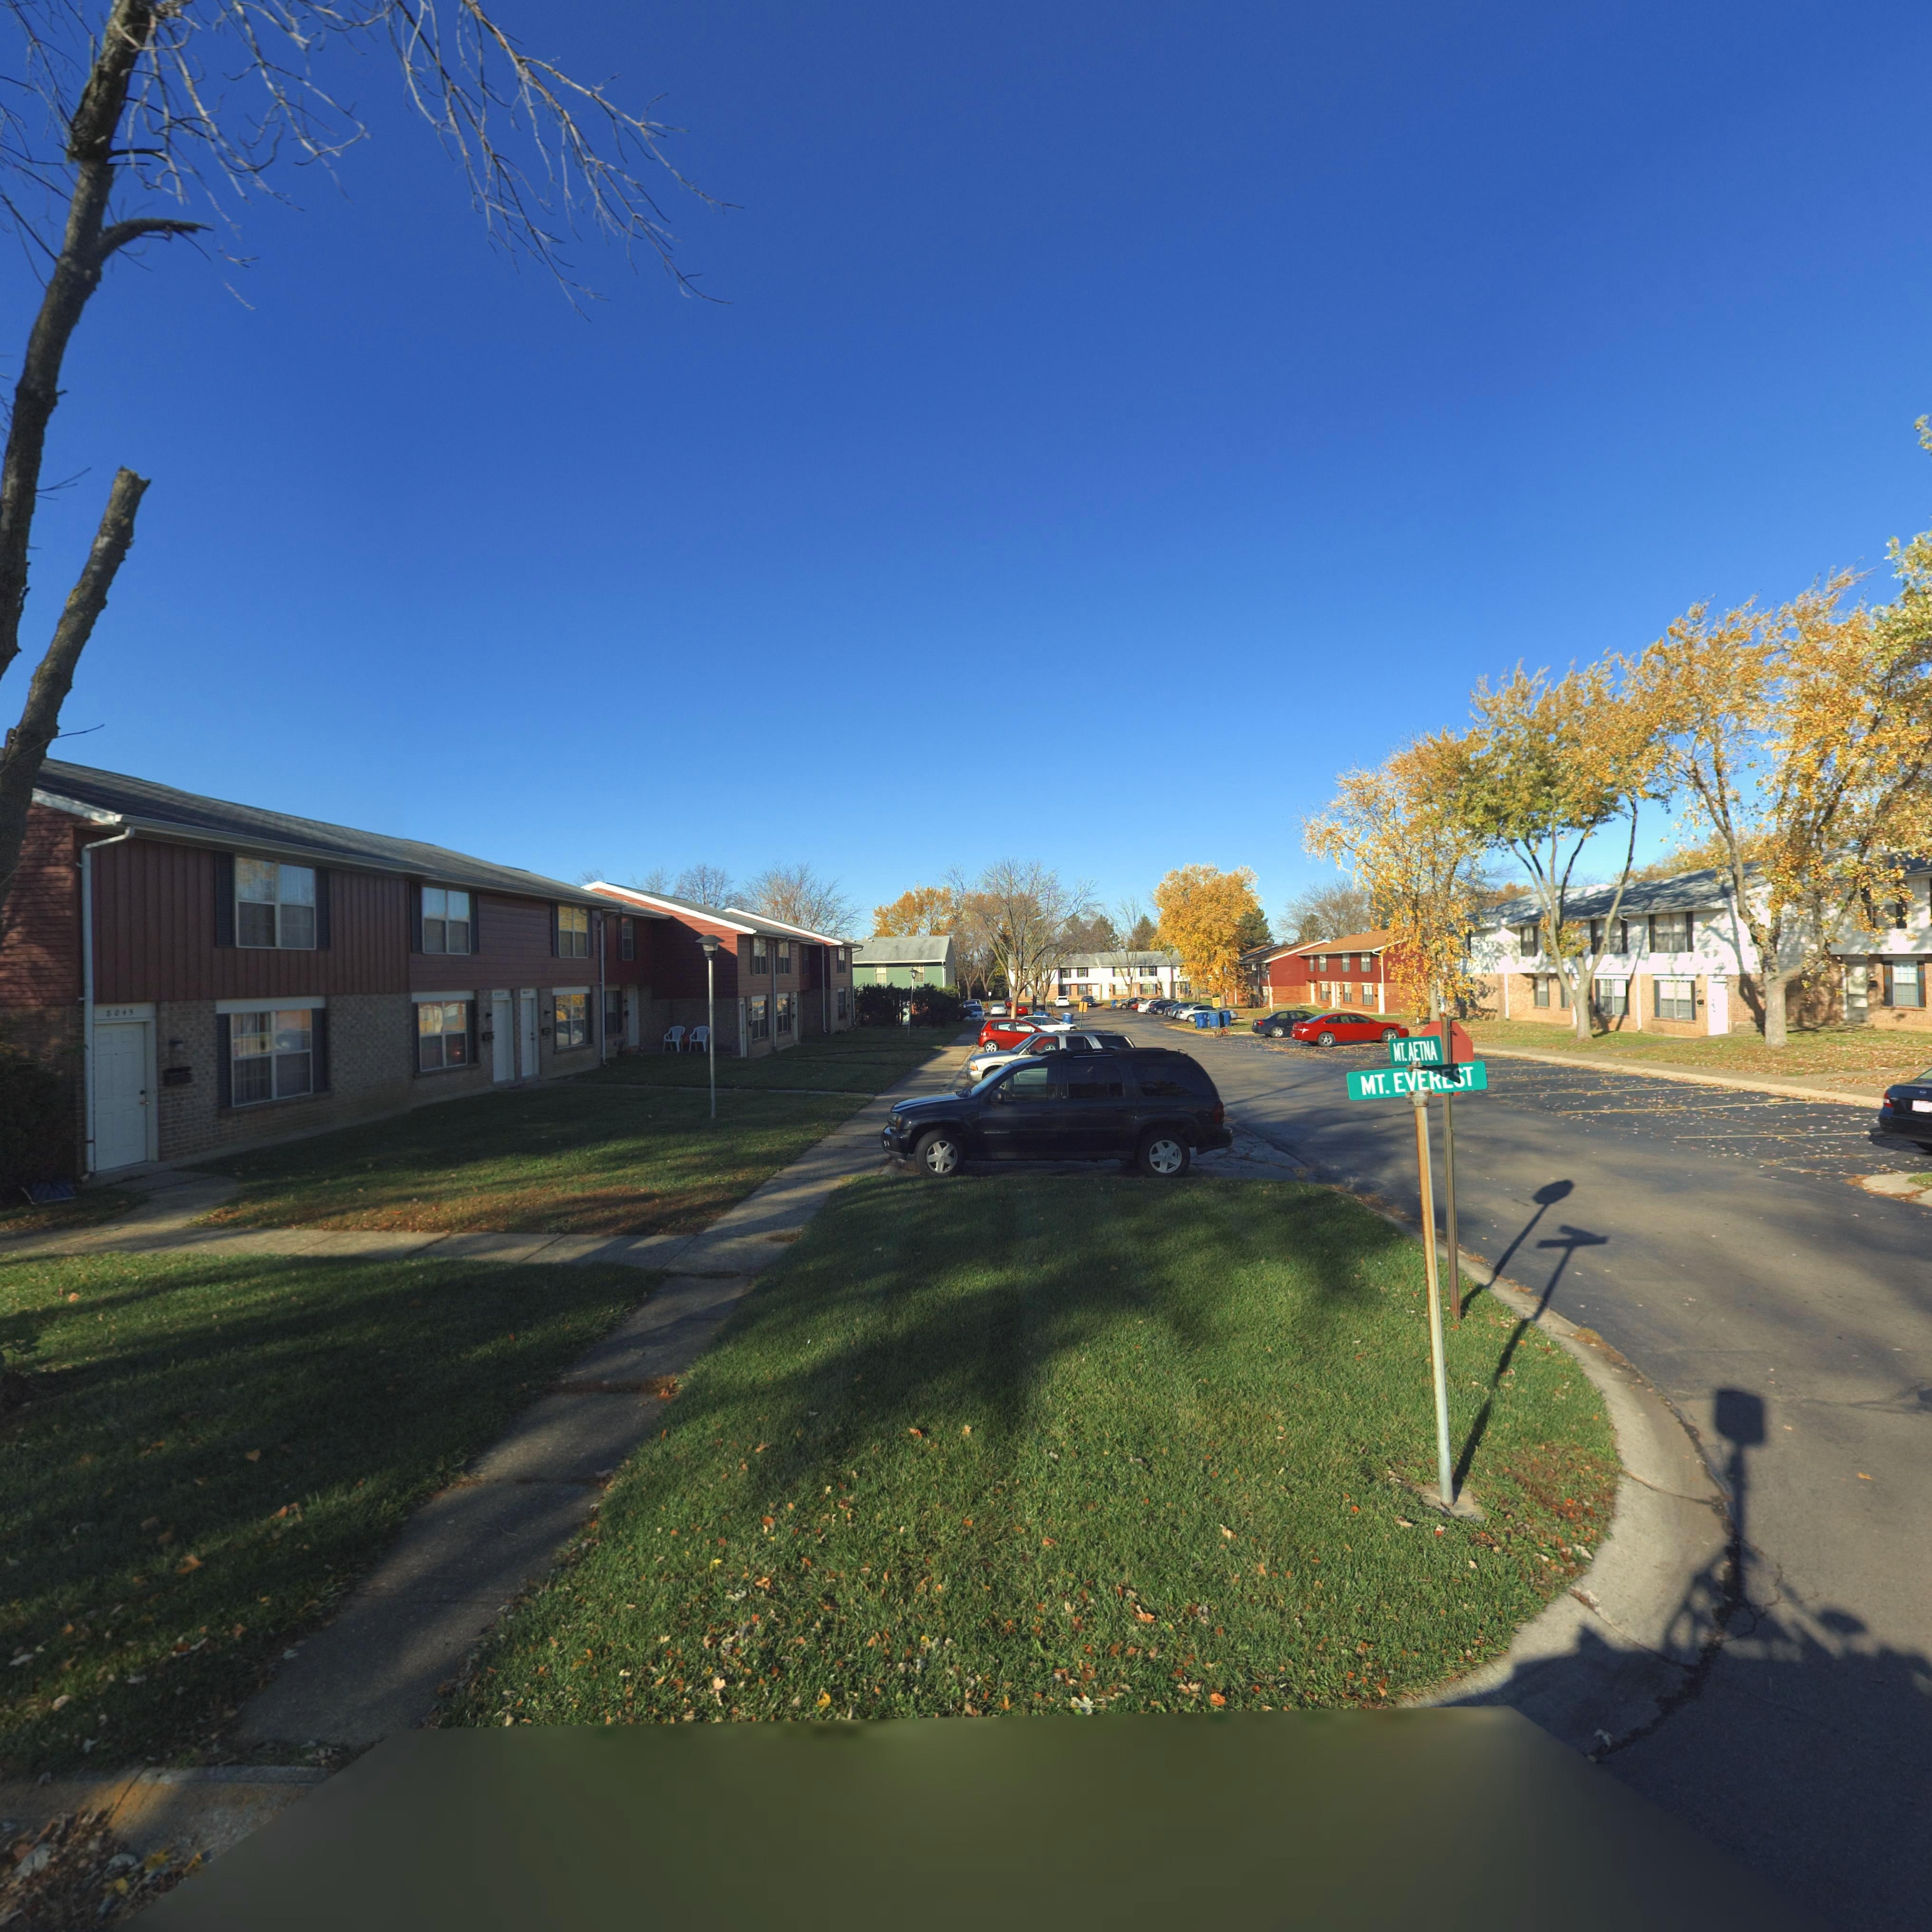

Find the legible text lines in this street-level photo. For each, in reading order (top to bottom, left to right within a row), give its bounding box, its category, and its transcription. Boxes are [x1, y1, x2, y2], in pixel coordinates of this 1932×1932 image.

[494, 991, 505, 997] StreetNumber: 8**7
[522, 990, 531, 995] StreetNumber: ***9
[106, 1008, 134, 1017] StreetNumber: 8045
[1392, 1040, 1439, 1062] StreetName: MT. AETNA
[1359, 1065, 1475, 1096] StreetName: MT. EVEREST